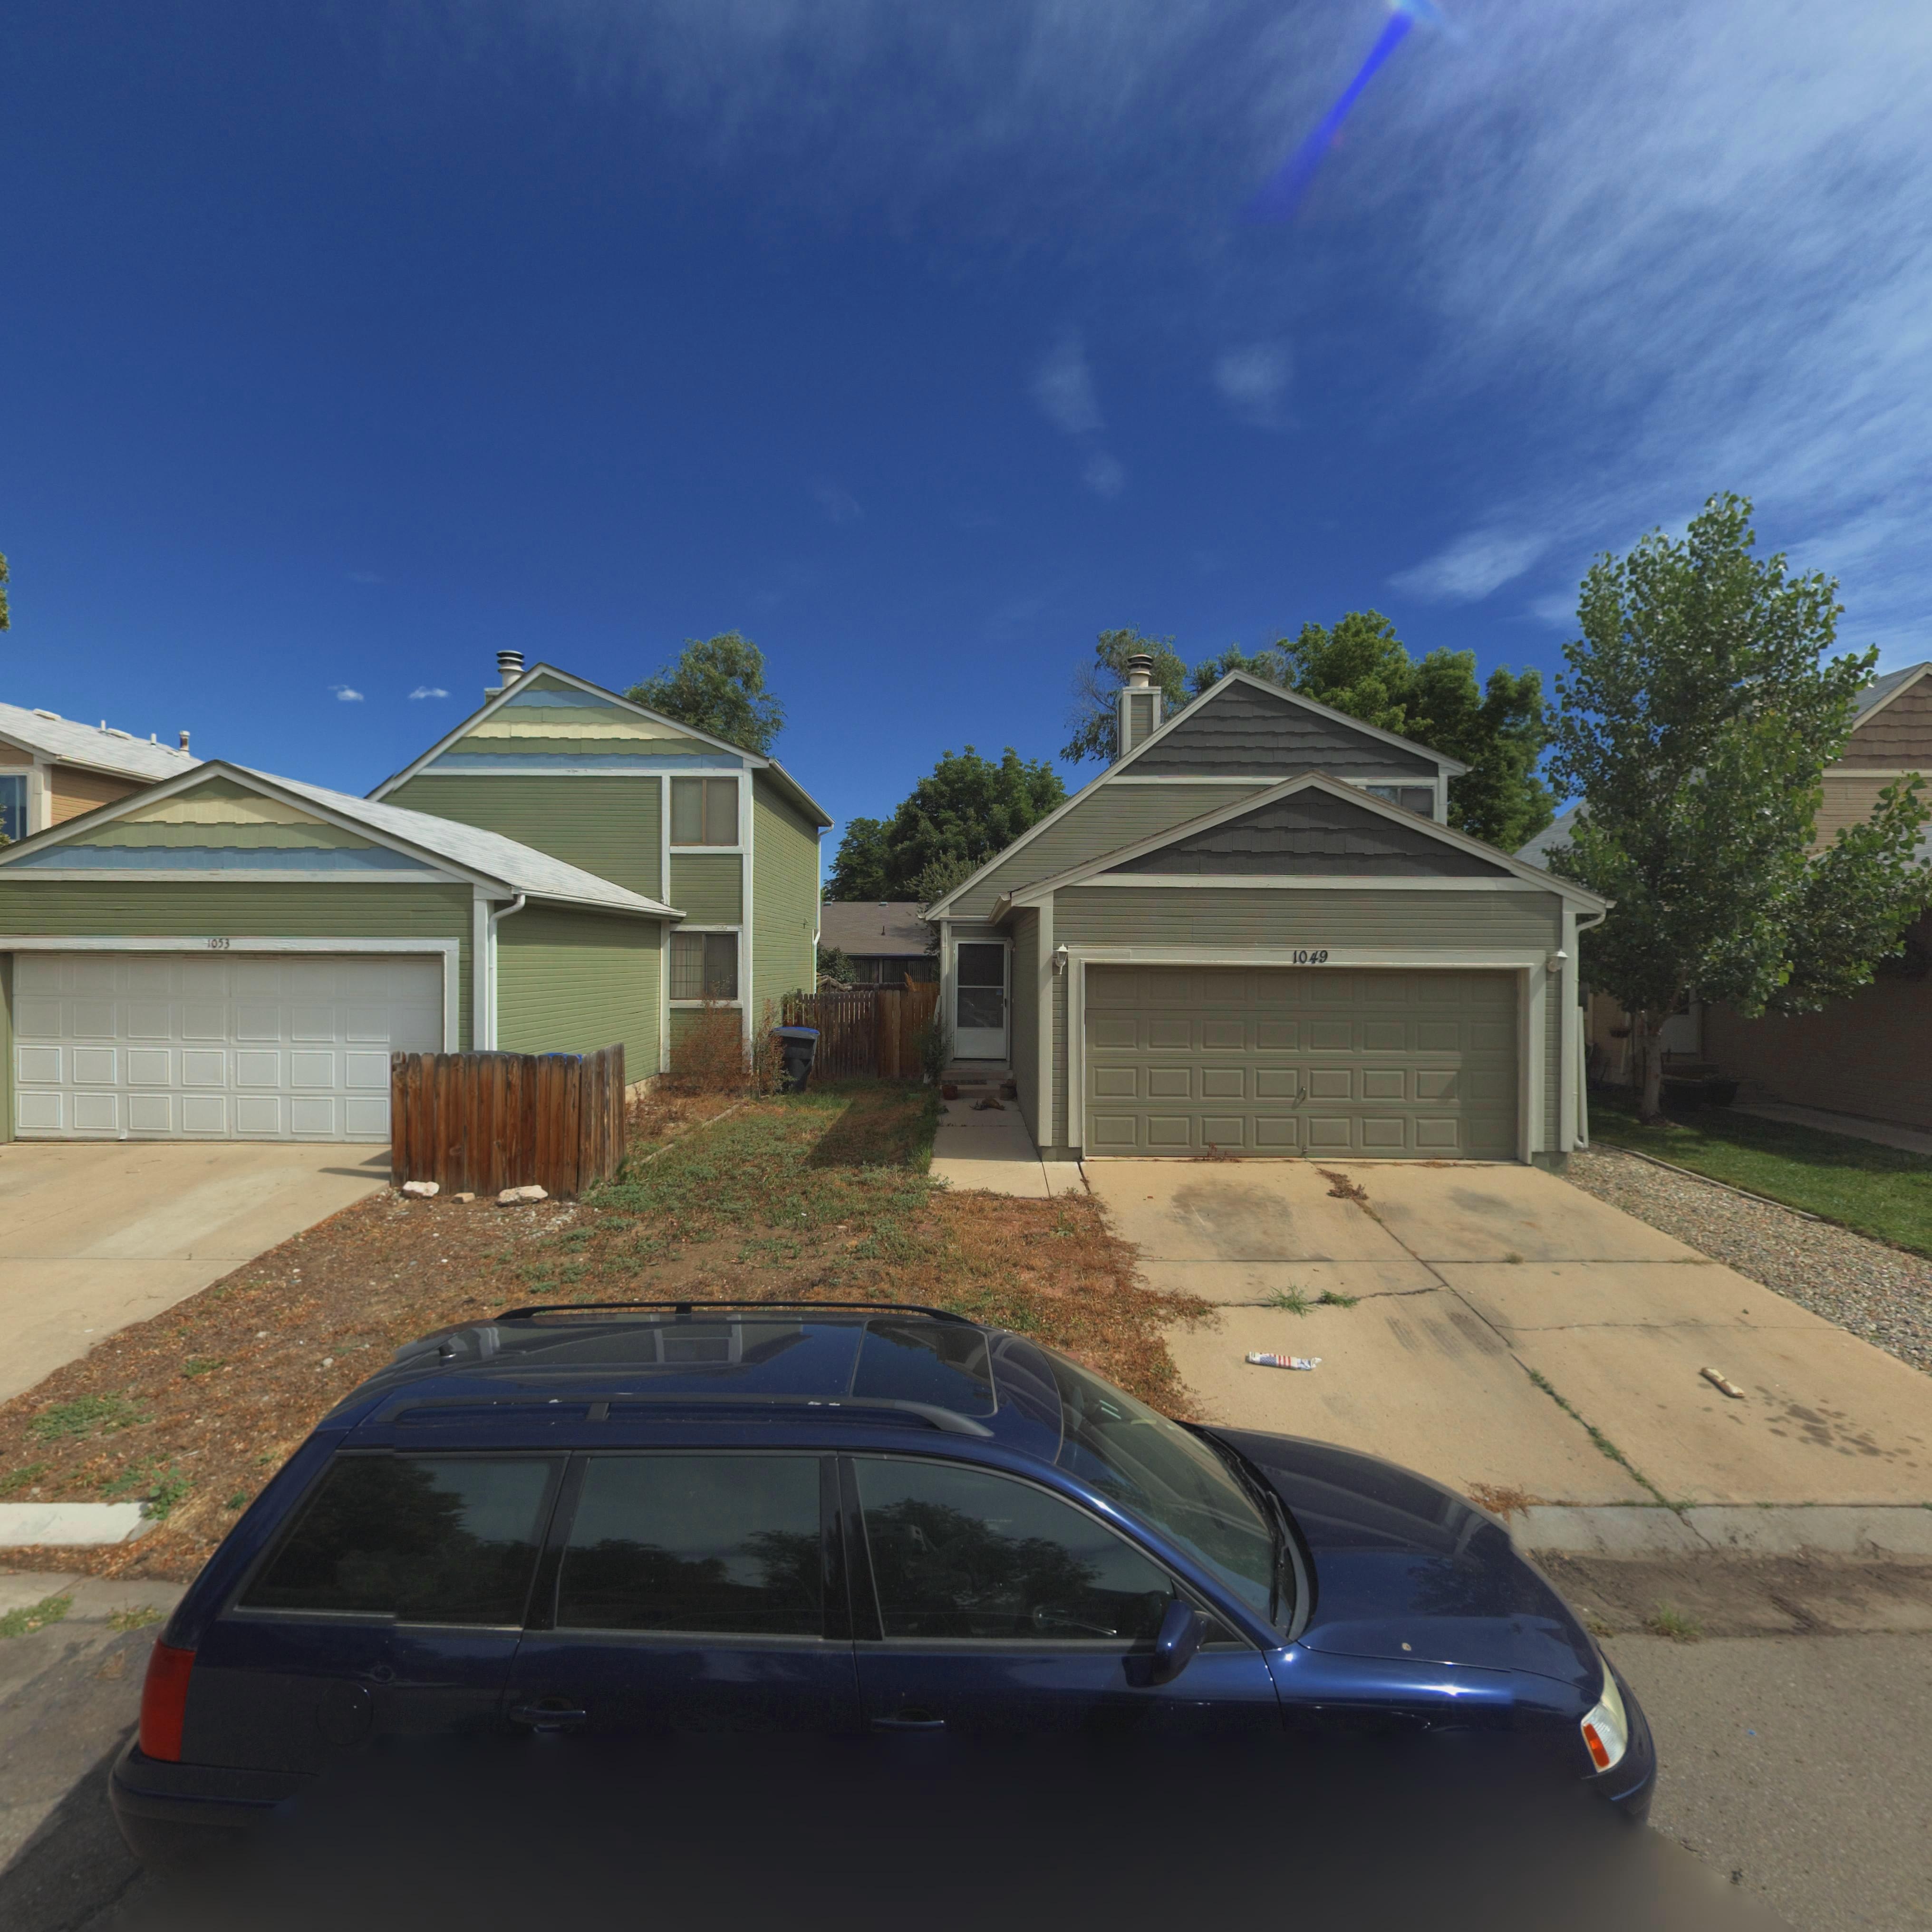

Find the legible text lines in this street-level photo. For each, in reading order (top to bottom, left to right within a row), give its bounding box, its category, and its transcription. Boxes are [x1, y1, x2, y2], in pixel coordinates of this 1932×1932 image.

[207, 938, 230, 949] StreetNumber: 1053
[1293, 949, 1329, 964] StreetNumber: 1049